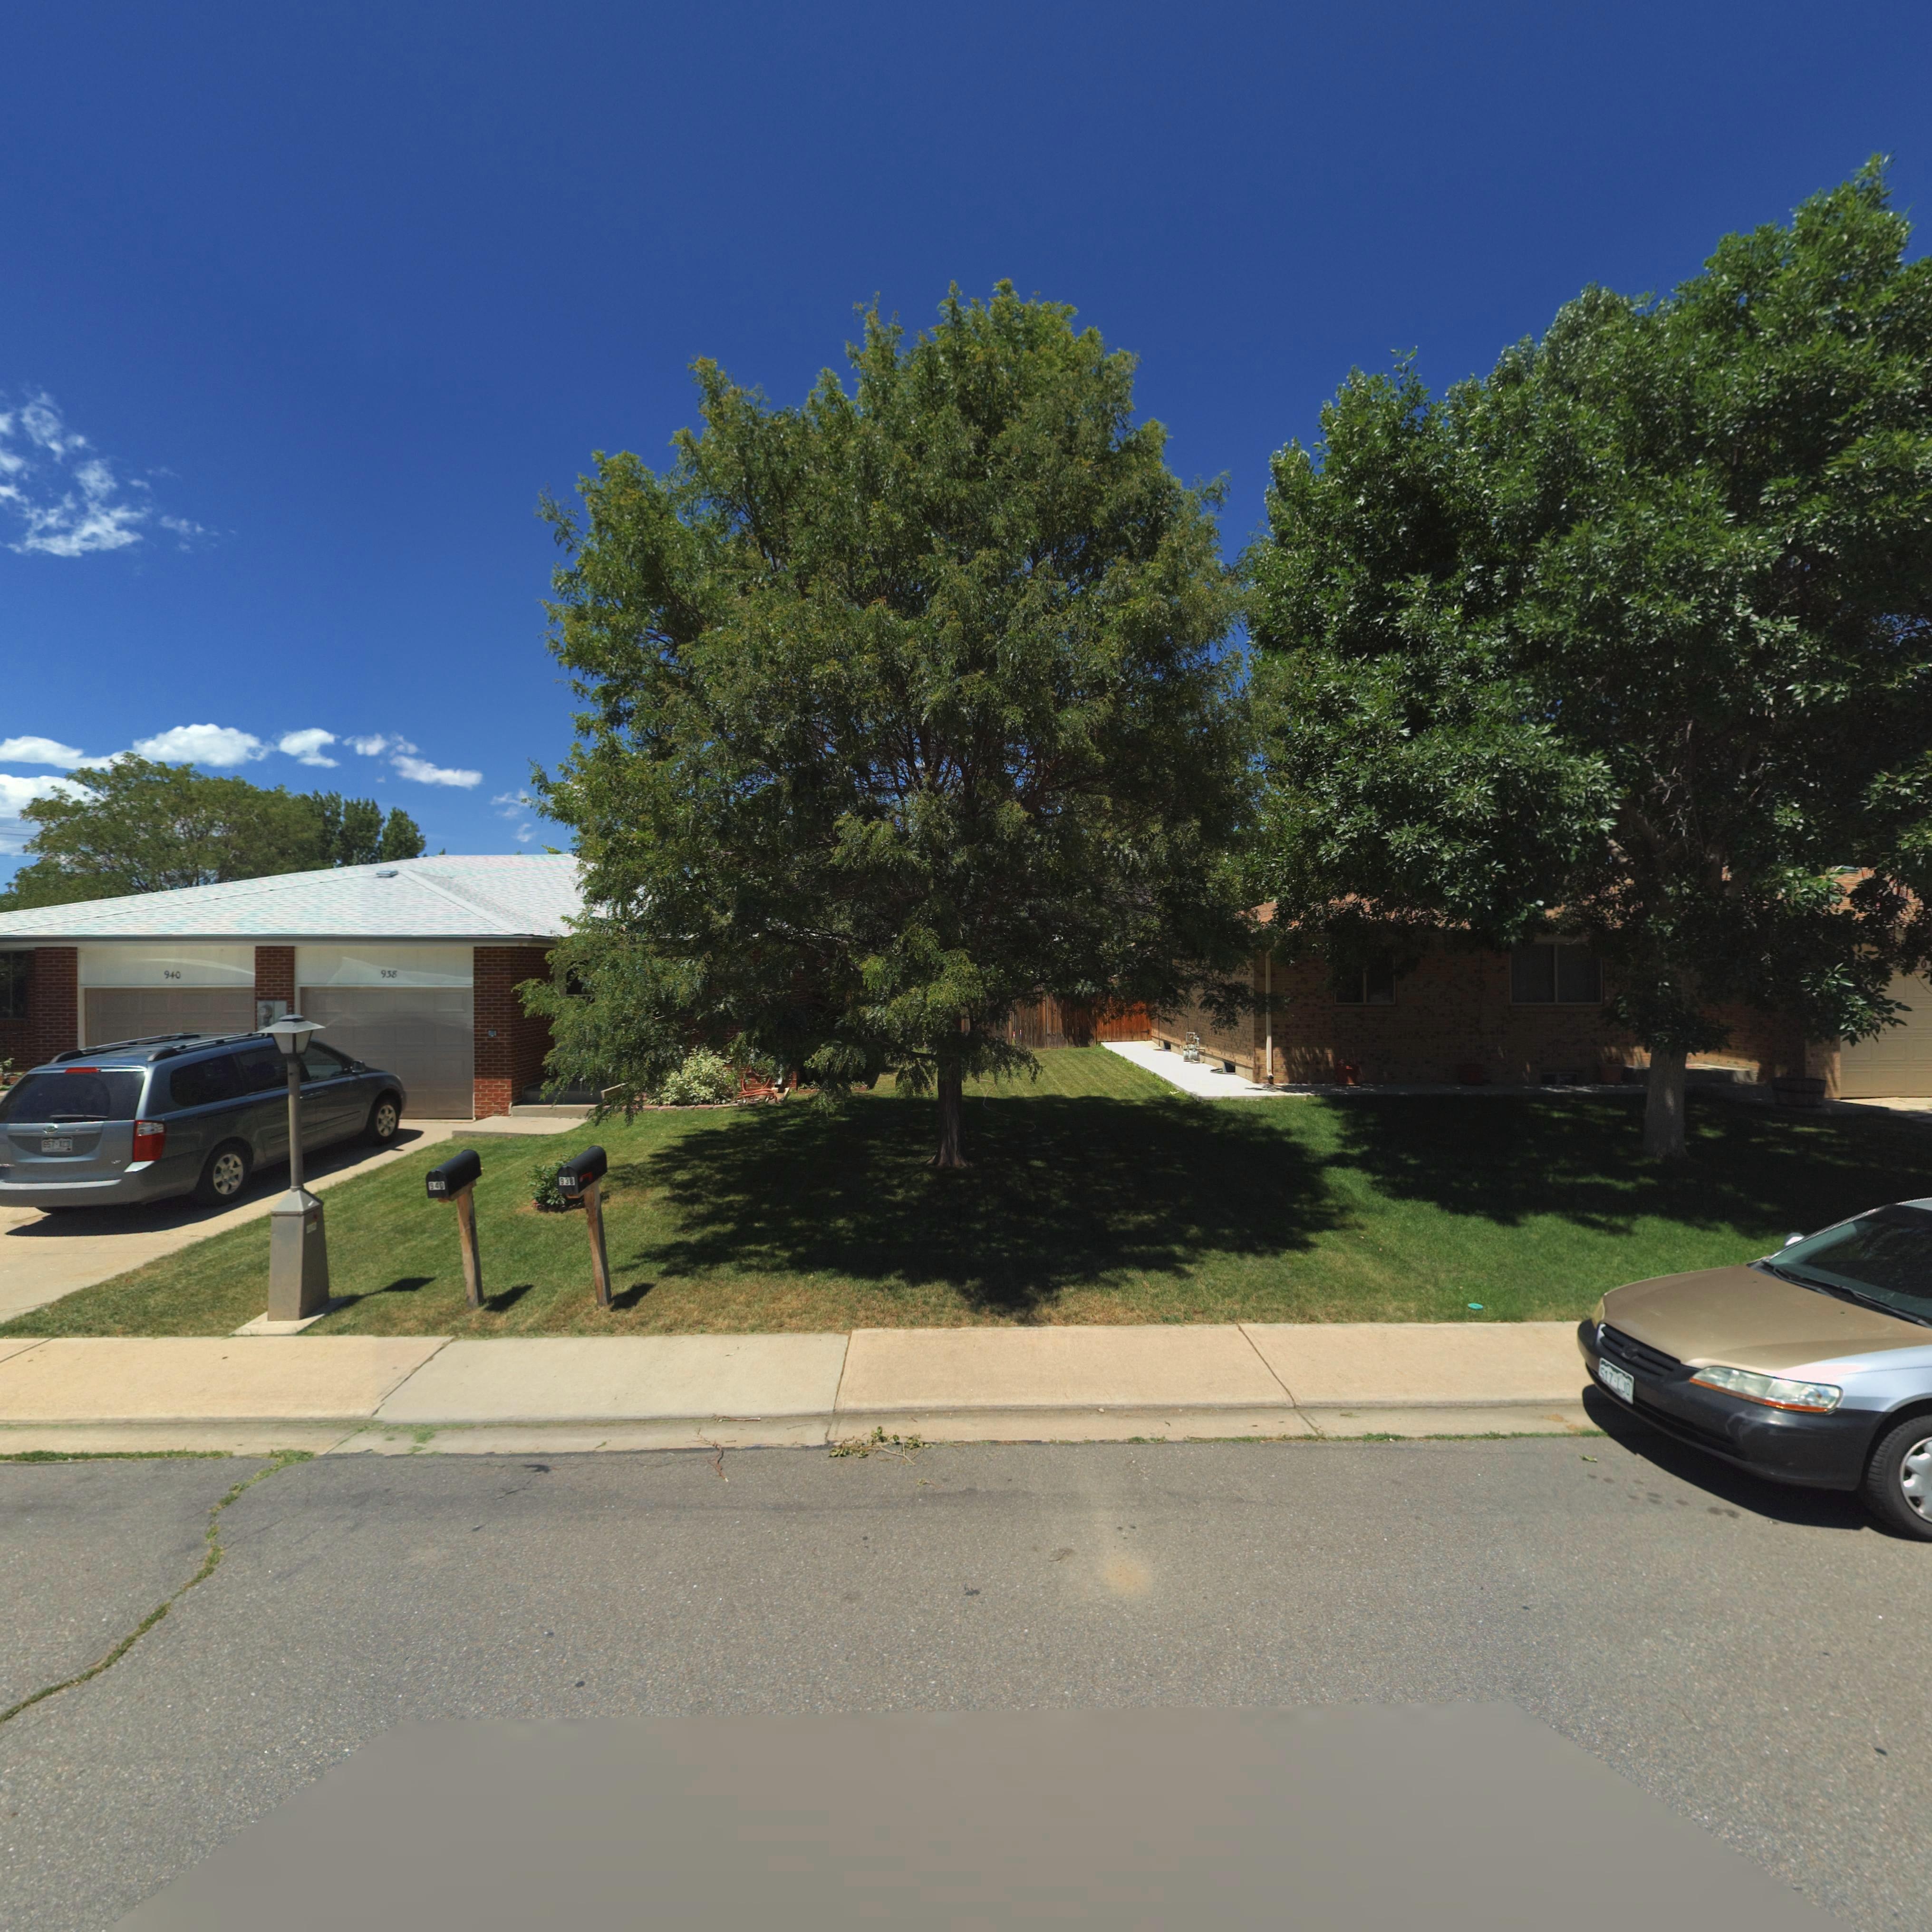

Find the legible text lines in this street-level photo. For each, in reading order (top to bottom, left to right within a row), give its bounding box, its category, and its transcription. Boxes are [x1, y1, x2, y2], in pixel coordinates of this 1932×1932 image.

[164, 970, 181, 979] StreetNumber: 940
[381, 969, 397, 978] StreetNumber: 938
[560, 1178, 573, 1185] StreetNumber: 938
[429, 1182, 444, 1189] StreetNumber: 940